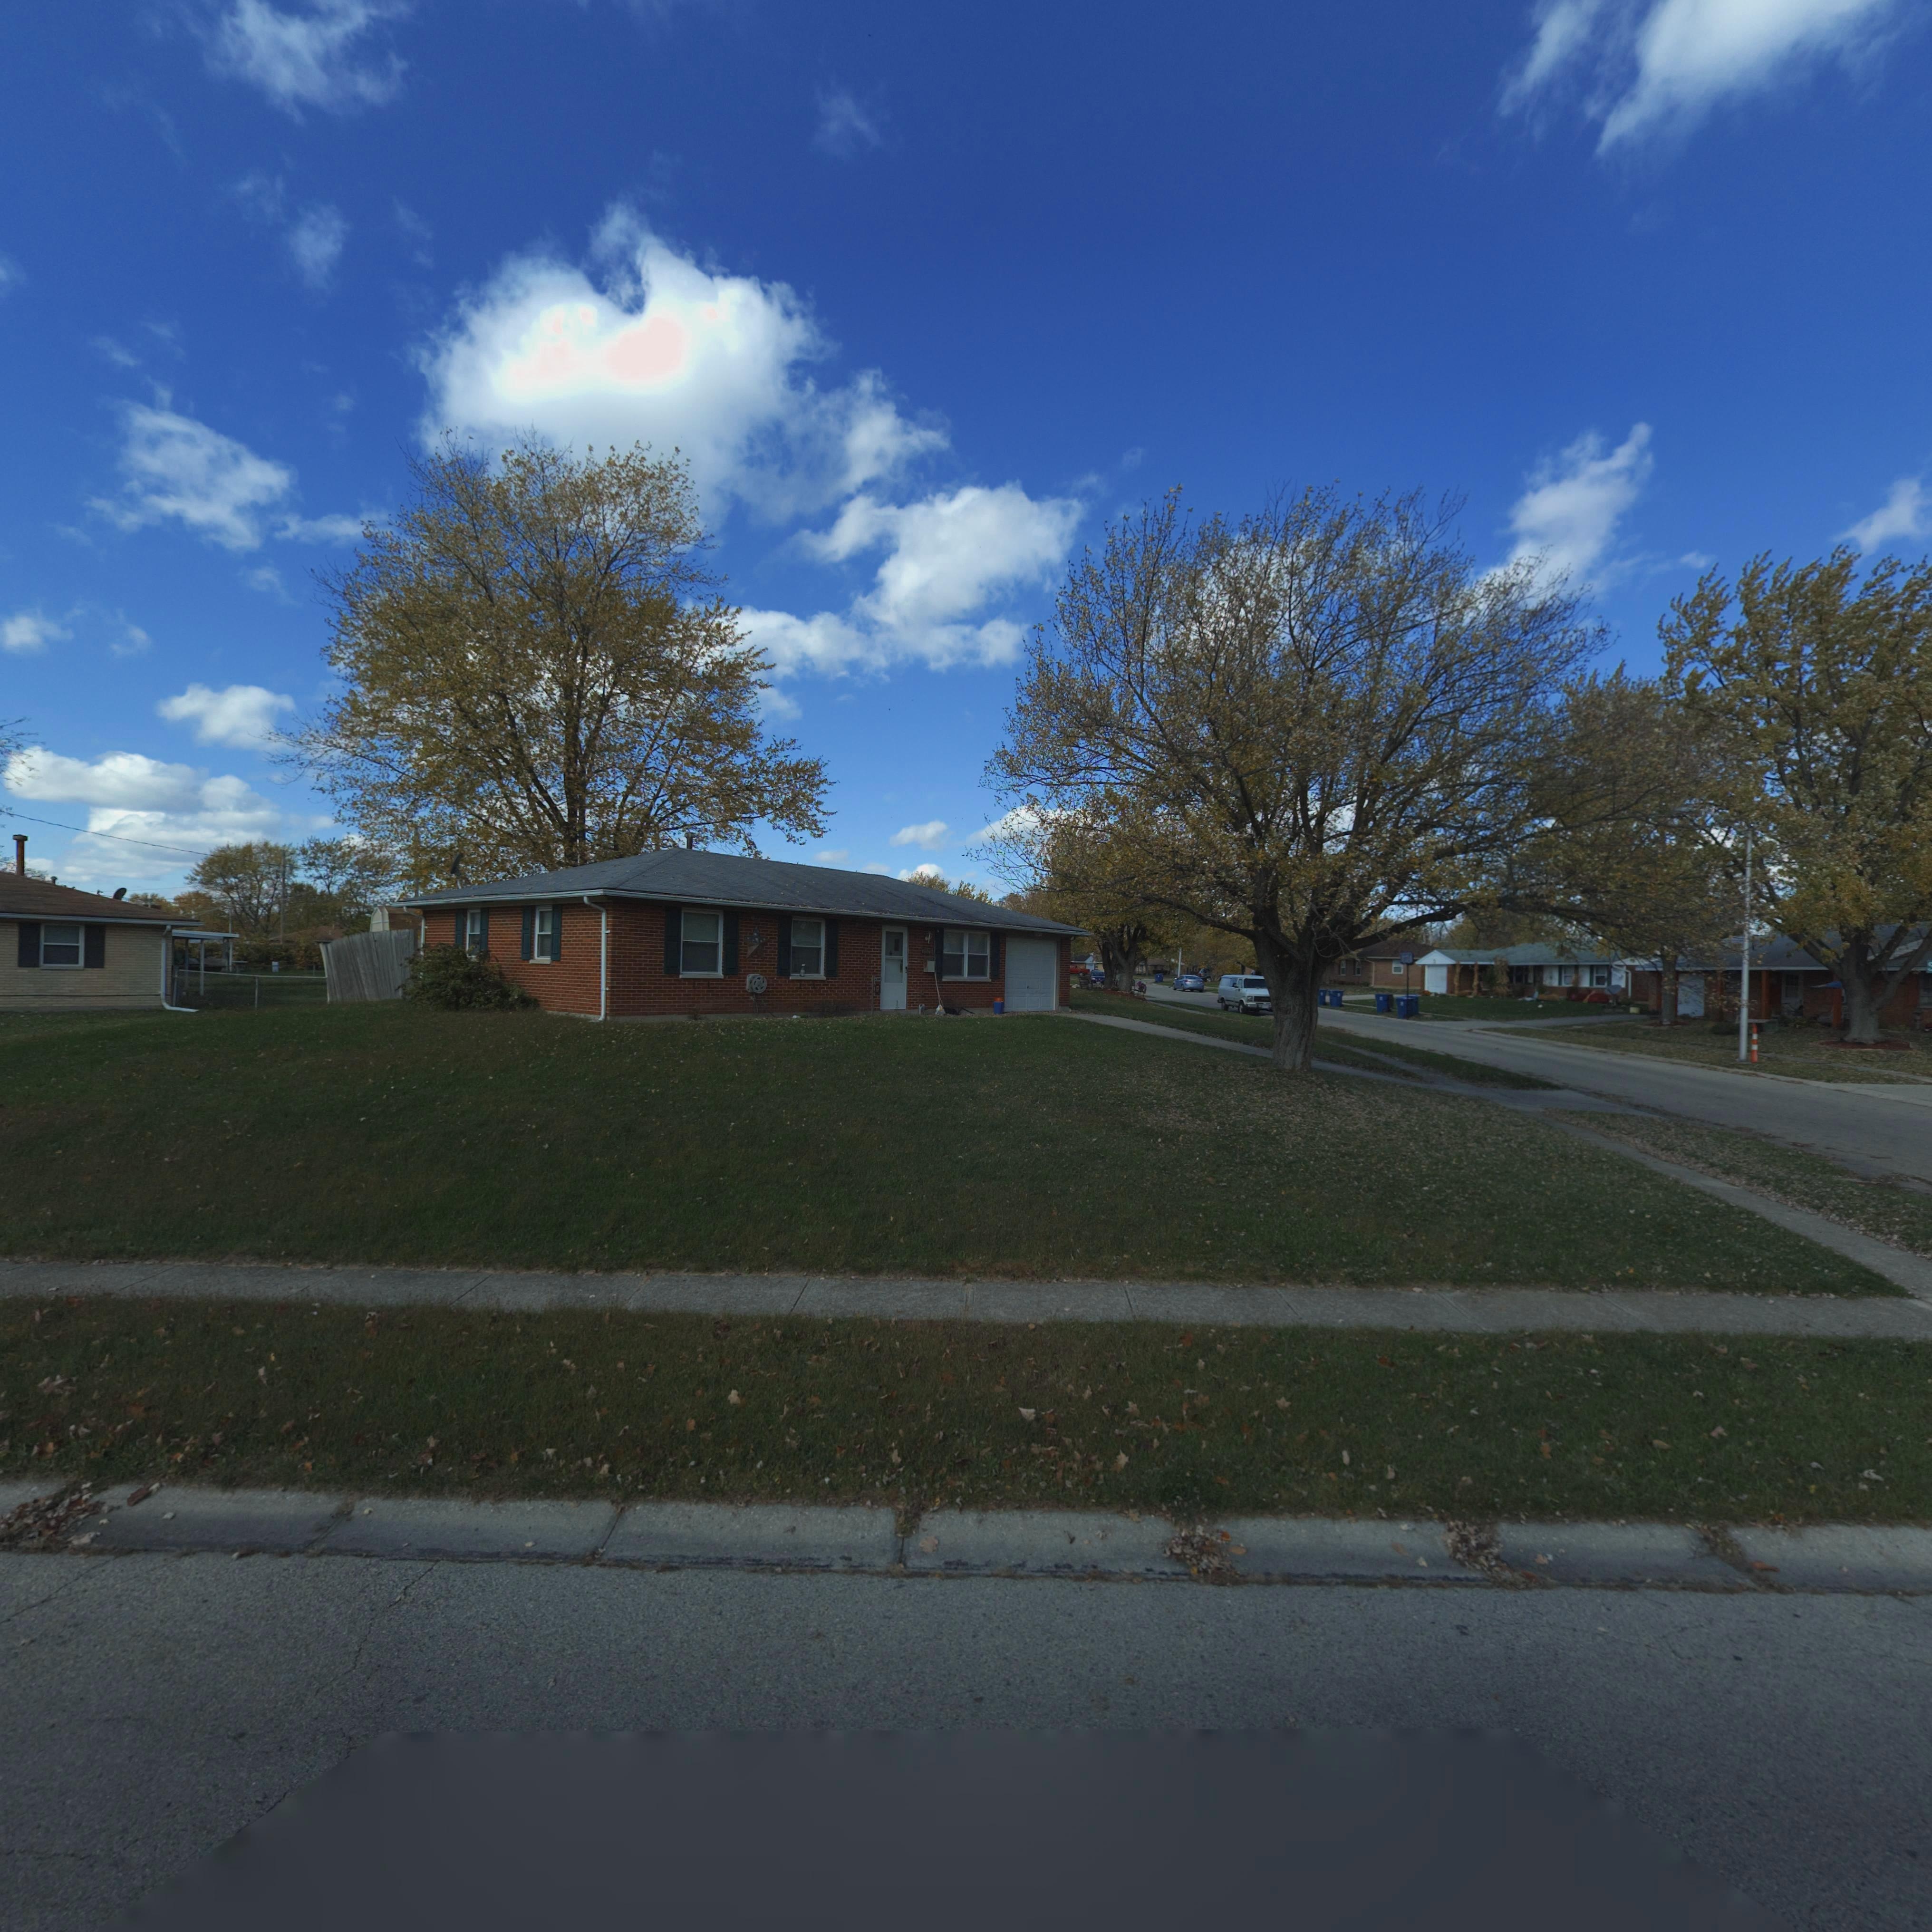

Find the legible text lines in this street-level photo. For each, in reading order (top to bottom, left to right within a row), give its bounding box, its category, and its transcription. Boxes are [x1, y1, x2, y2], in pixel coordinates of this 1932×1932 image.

[921, 948, 933, 955] StreetNumber: 76**